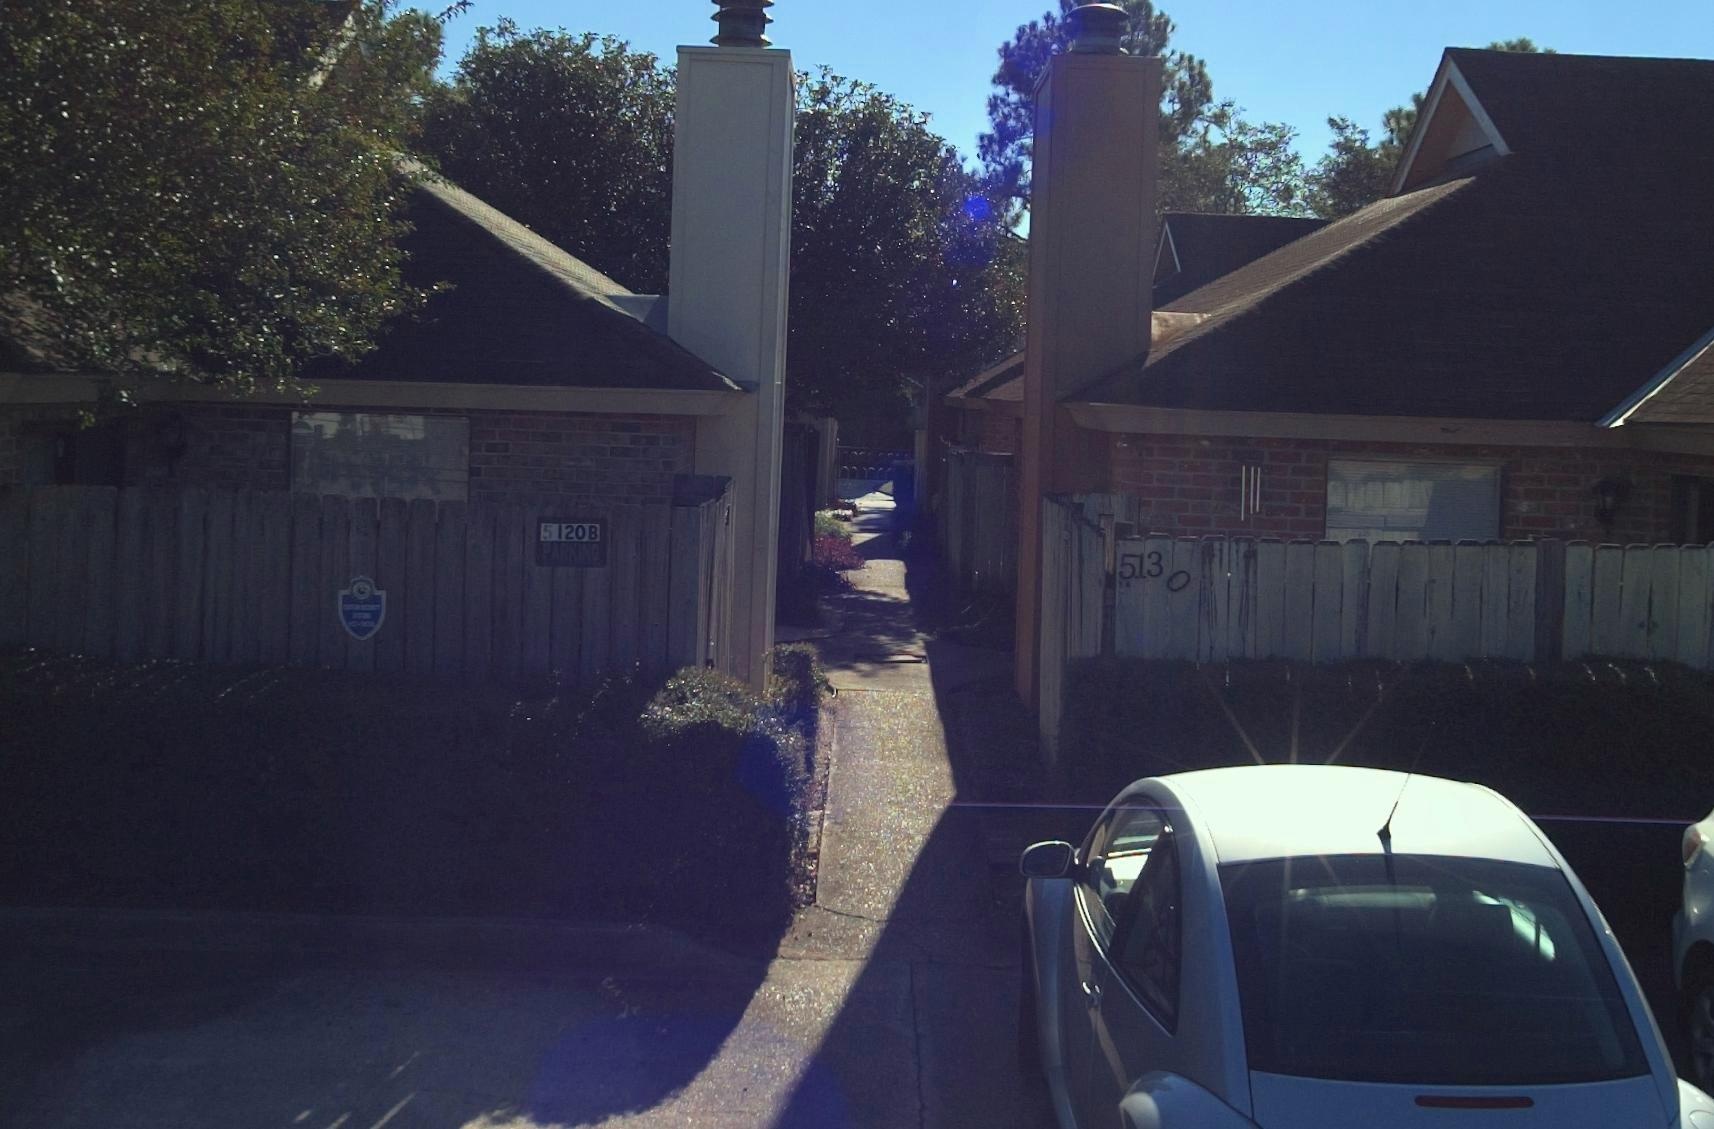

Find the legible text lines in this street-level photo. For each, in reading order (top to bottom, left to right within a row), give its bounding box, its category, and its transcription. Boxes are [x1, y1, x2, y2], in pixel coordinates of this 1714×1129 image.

[543, 523, 599, 540] StreetNumber: 5120B
[541, 541, 601, 563] None: PARKING
[1118, 549, 1191, 593] StreetNumber: 5130